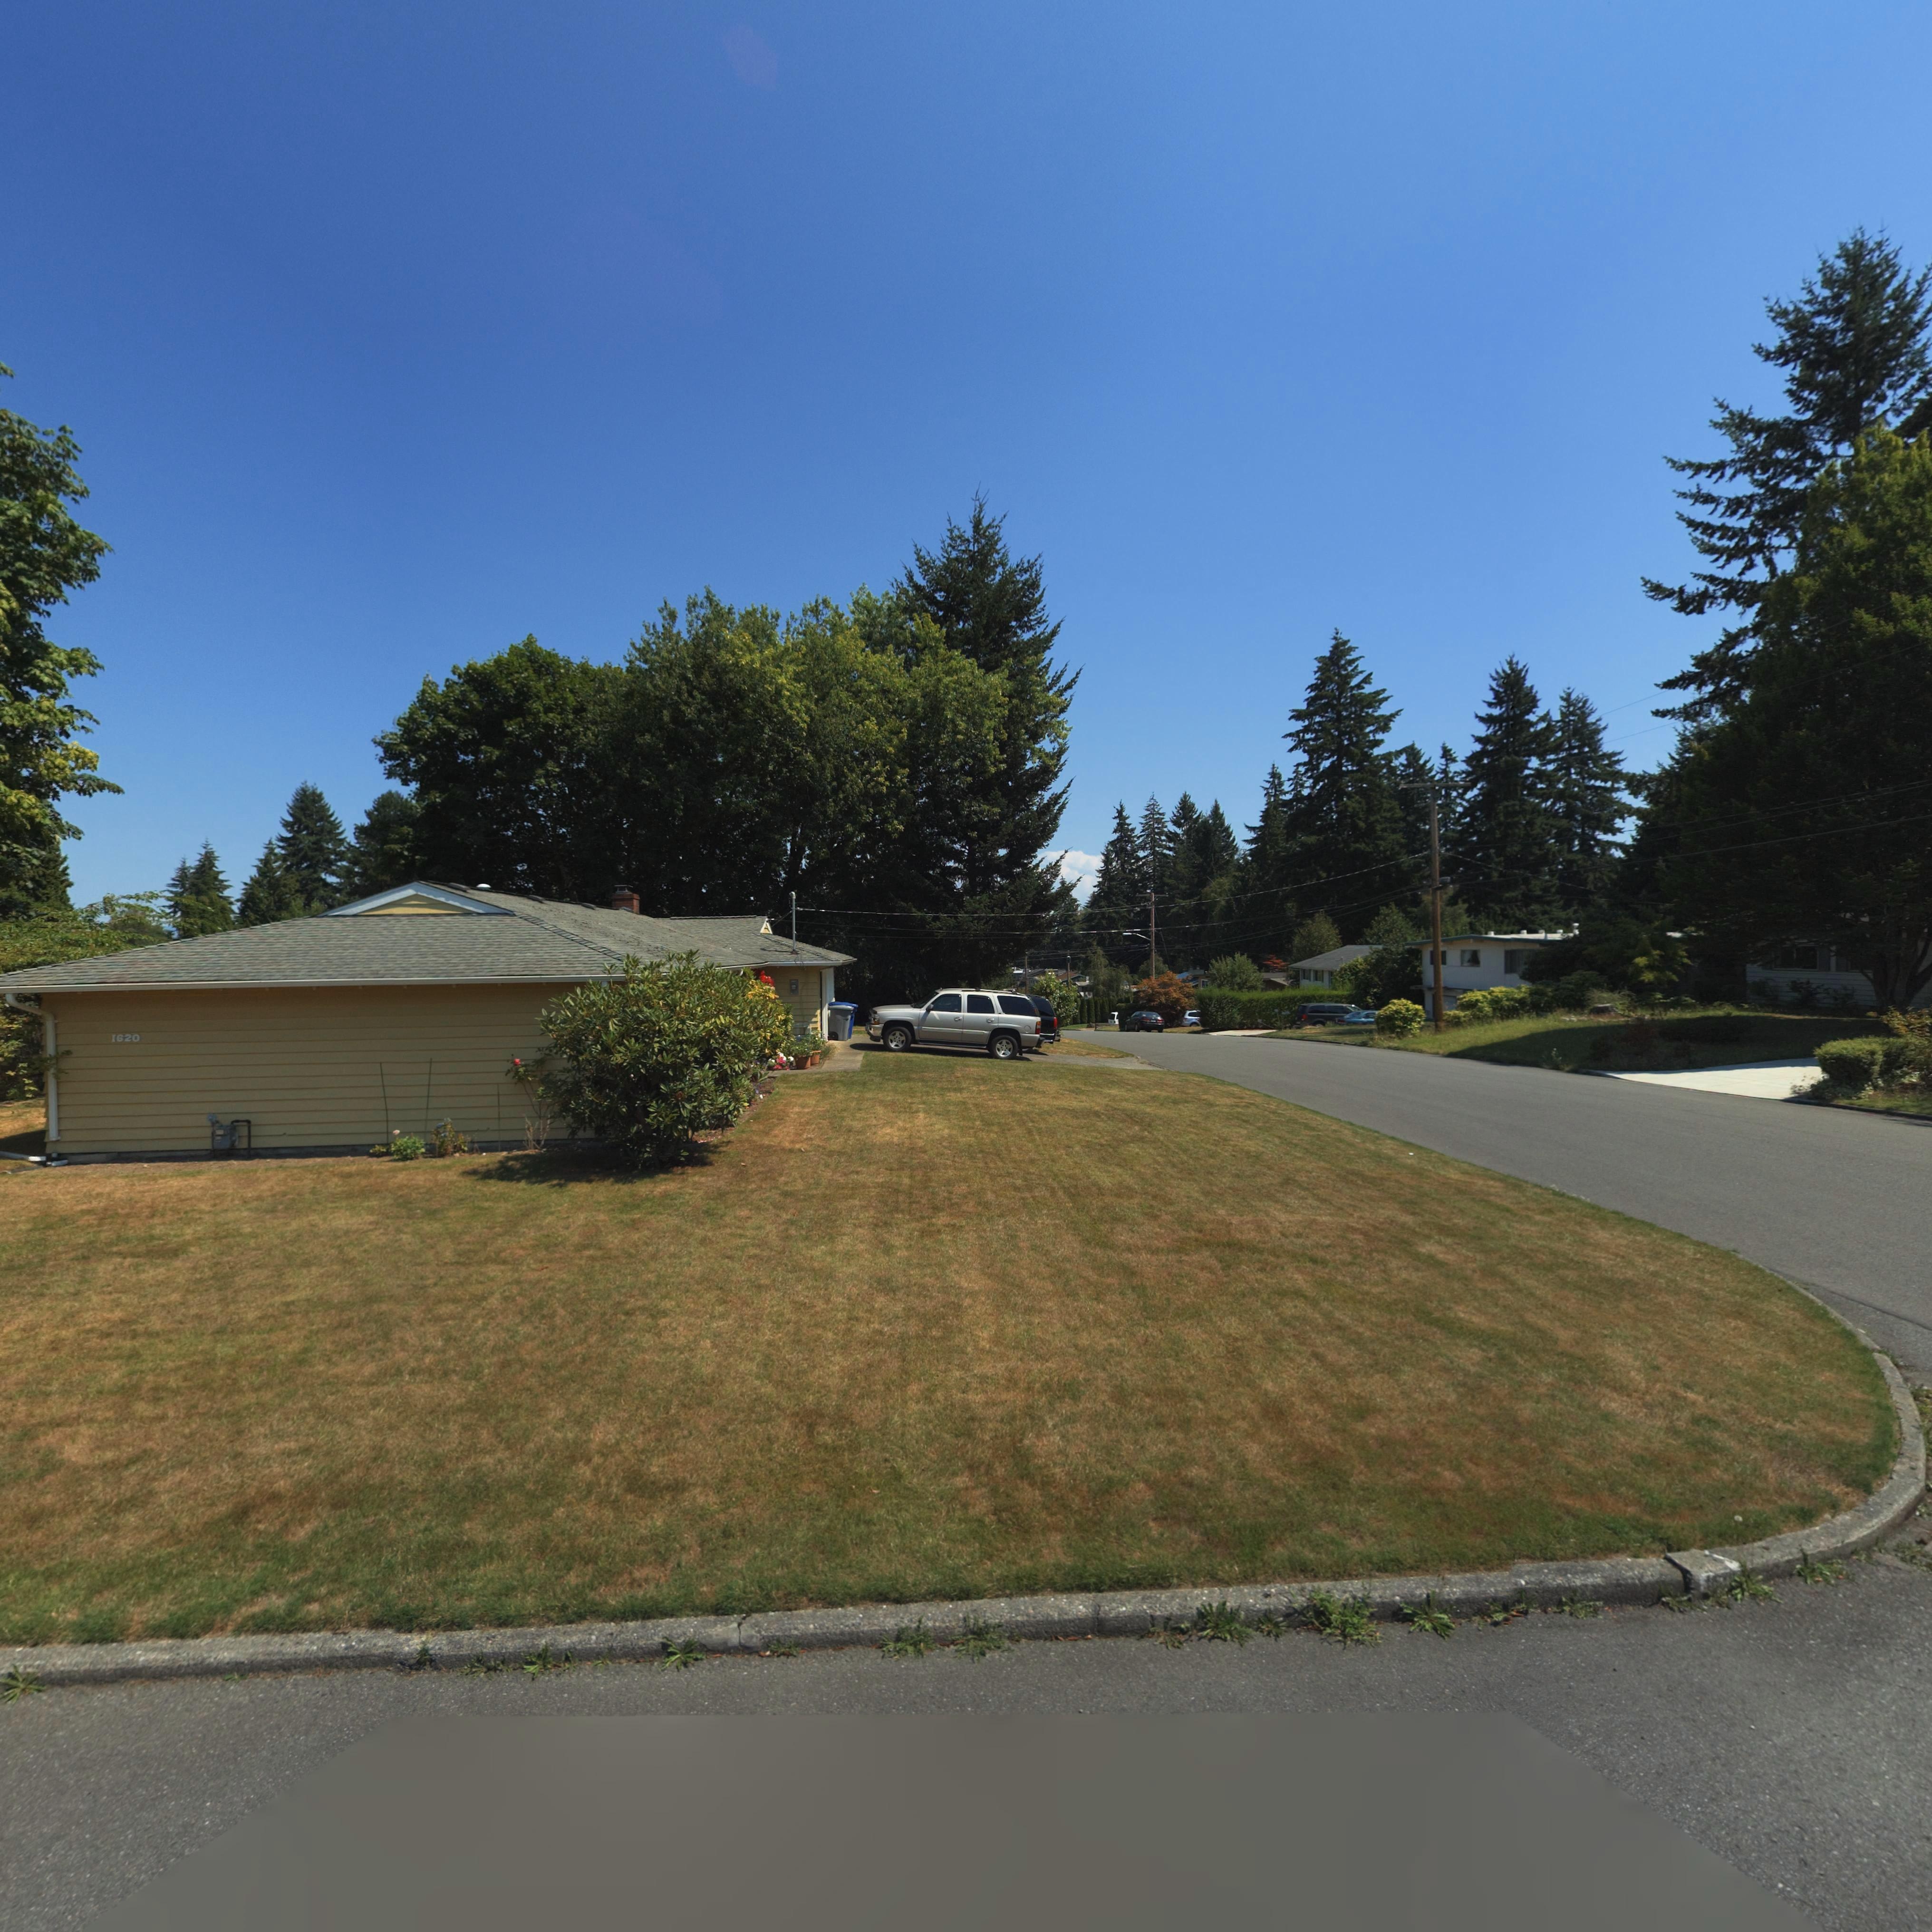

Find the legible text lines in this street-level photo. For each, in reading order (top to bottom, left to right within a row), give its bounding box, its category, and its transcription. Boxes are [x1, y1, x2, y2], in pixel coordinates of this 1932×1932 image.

[111, 1034, 140, 1042] StreetNumber: 1620